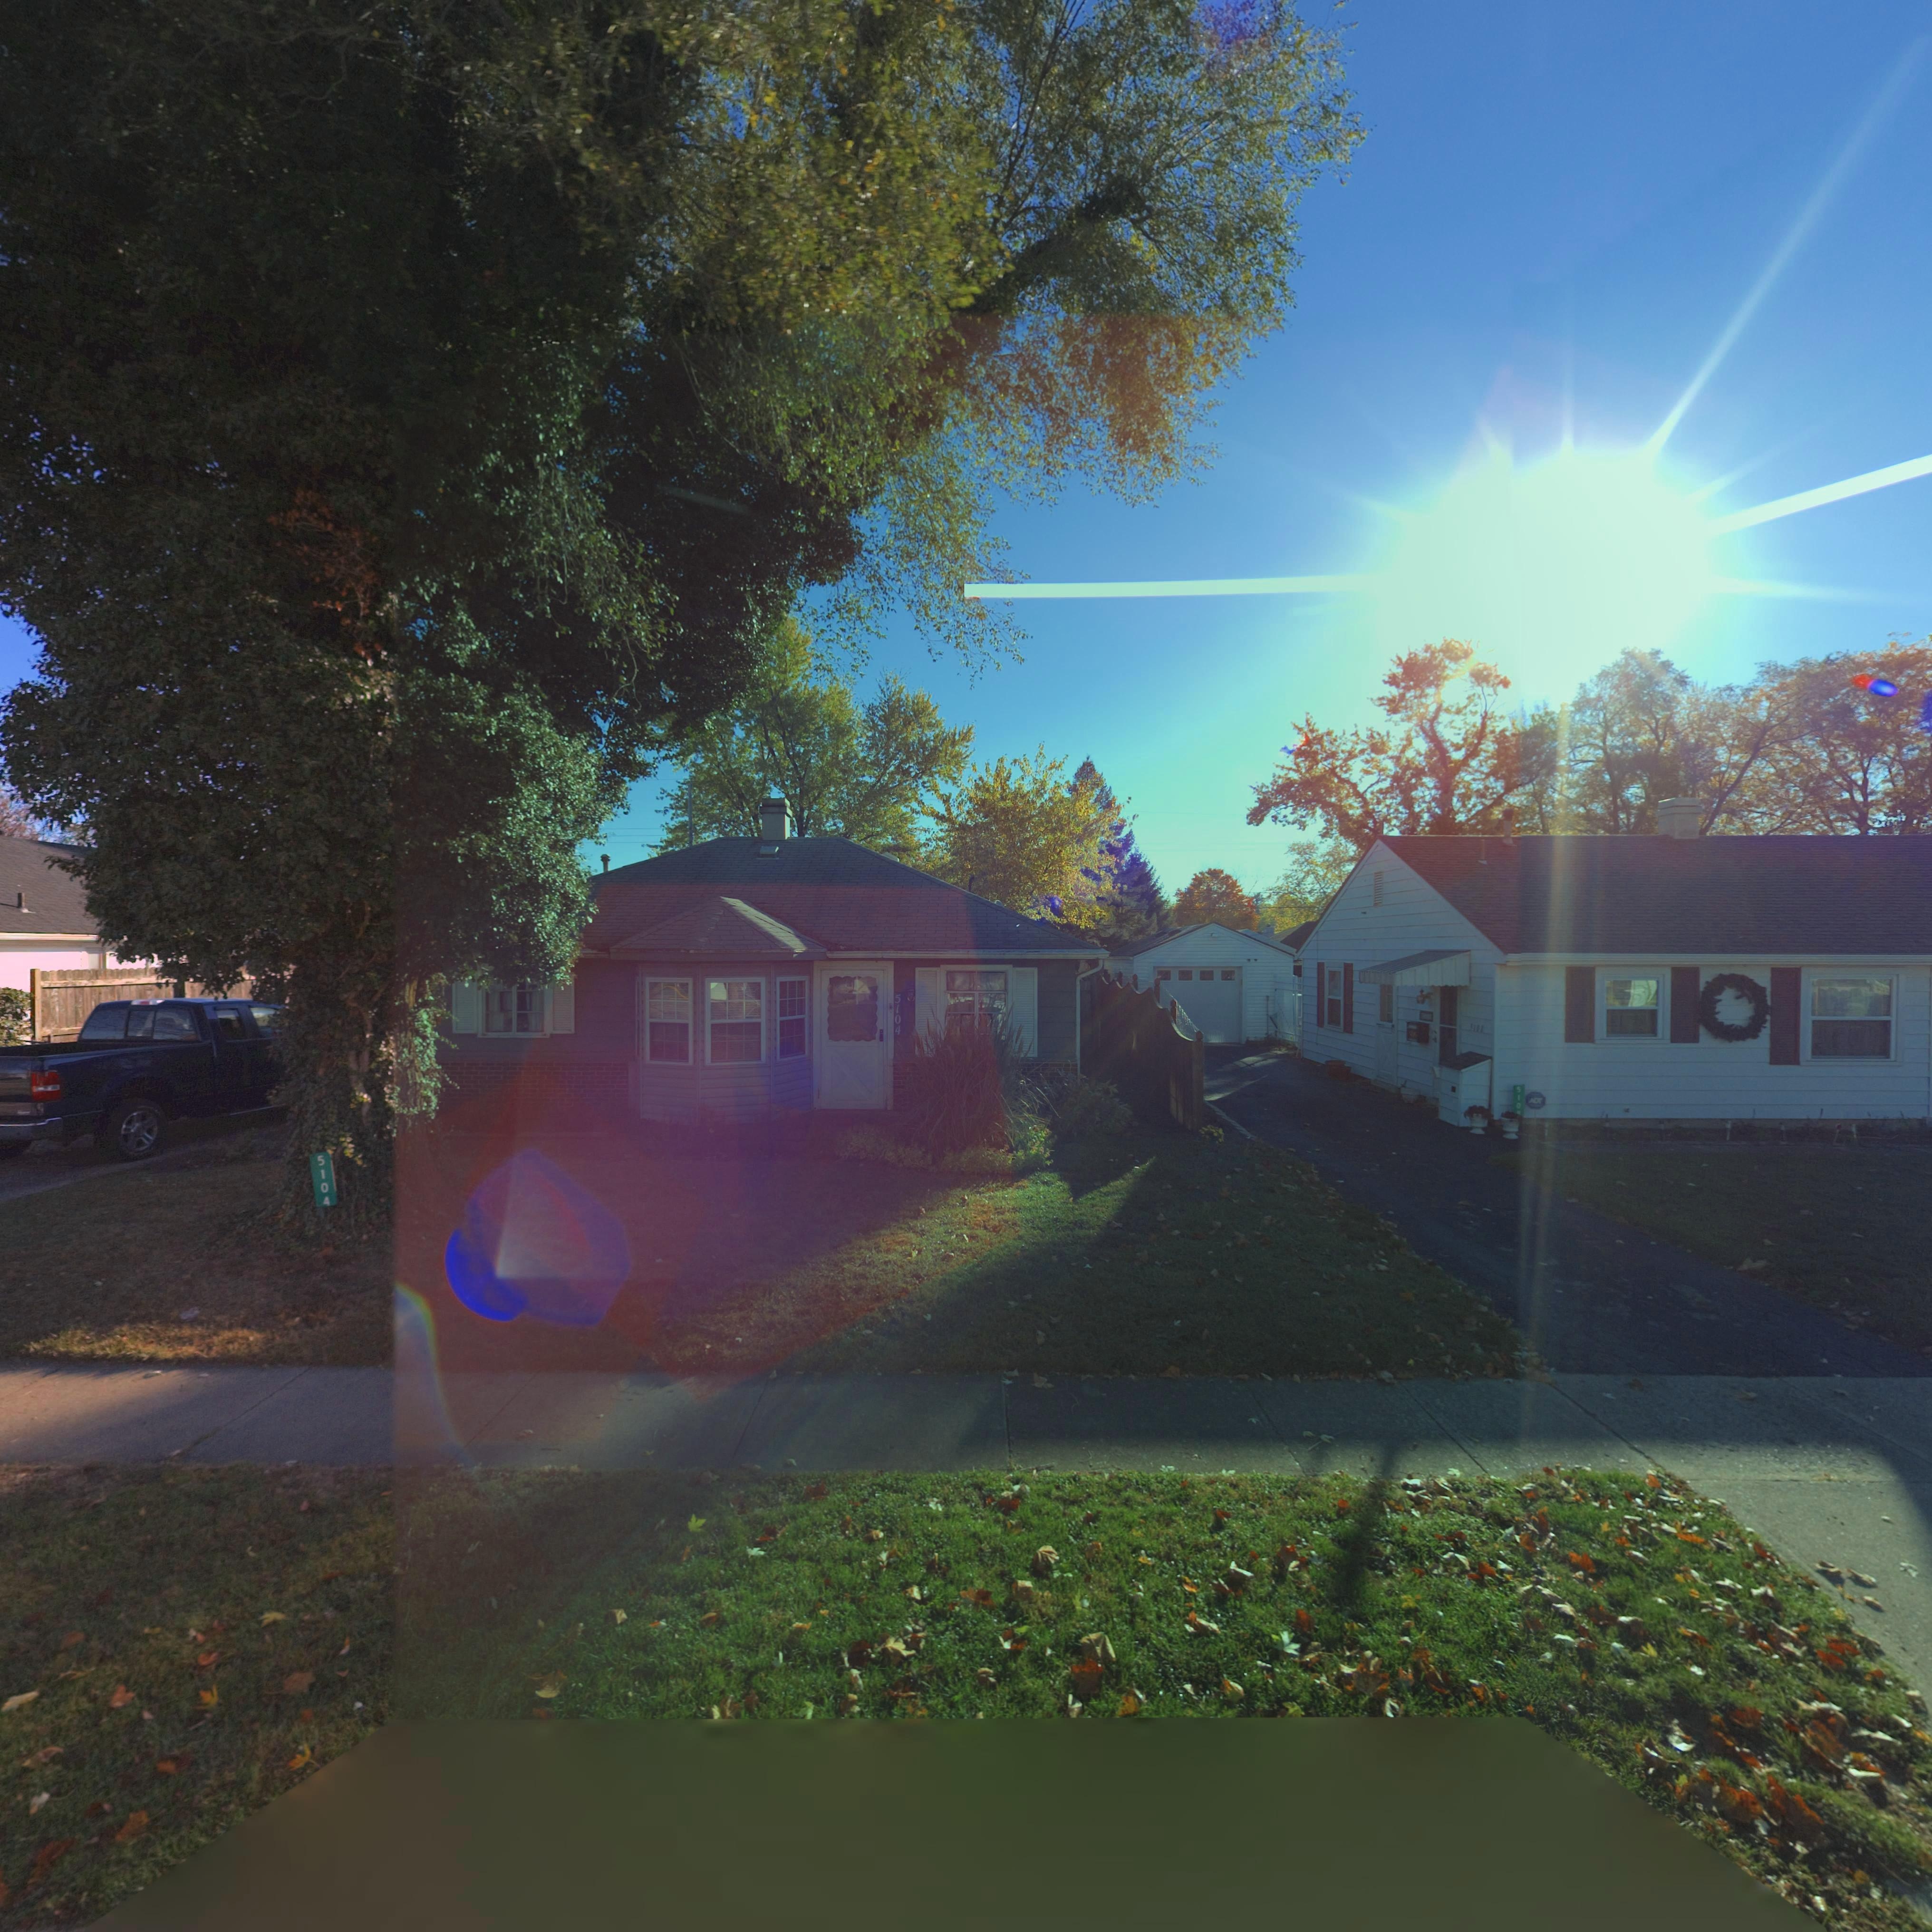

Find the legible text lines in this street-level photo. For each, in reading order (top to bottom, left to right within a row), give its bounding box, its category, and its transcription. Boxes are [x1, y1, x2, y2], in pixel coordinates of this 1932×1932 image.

[894, 994, 901, 1035] StreetNumber: 5104
[1467, 1023, 1485, 1034] StreetNumber: 5108
[1516, 1085, 1522, 1110] StreetNumber: 510
[316, 1154, 332, 1207] StreetNumber: 5104